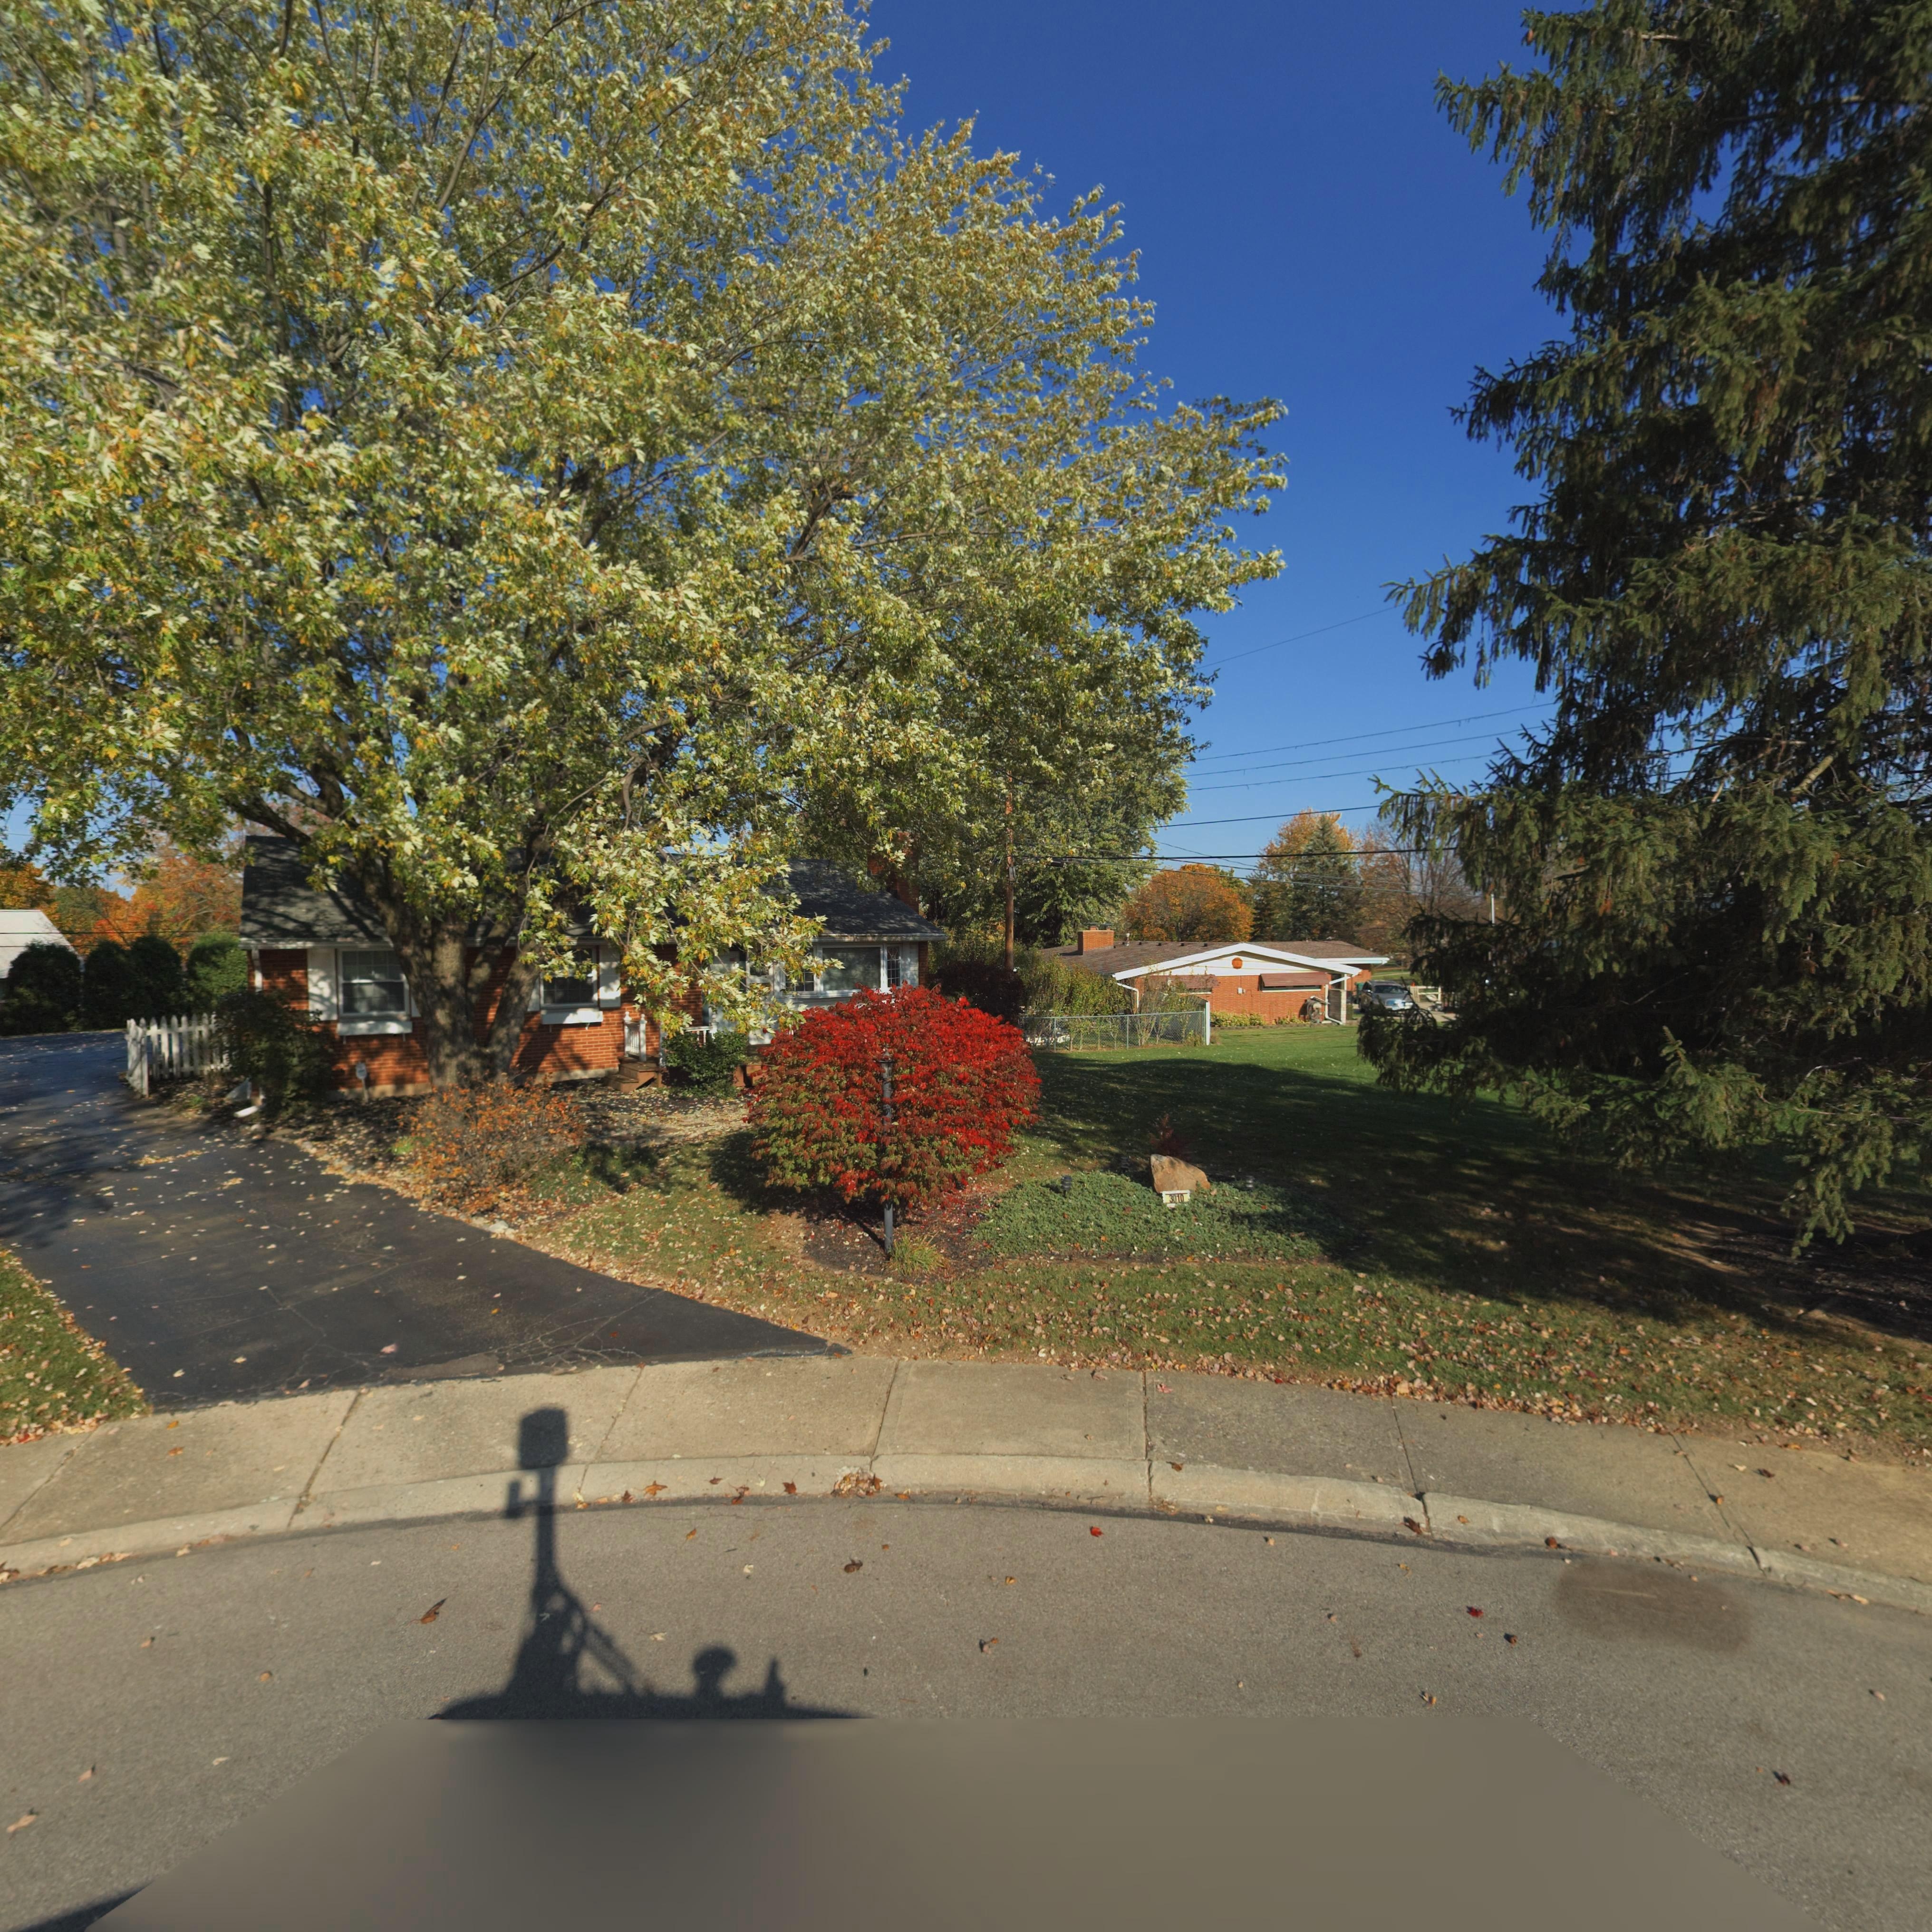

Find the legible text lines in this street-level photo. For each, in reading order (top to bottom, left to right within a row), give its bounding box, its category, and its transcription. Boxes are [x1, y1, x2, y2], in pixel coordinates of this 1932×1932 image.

[1168, 1194, 1185, 1203] StreetNumber: 3010